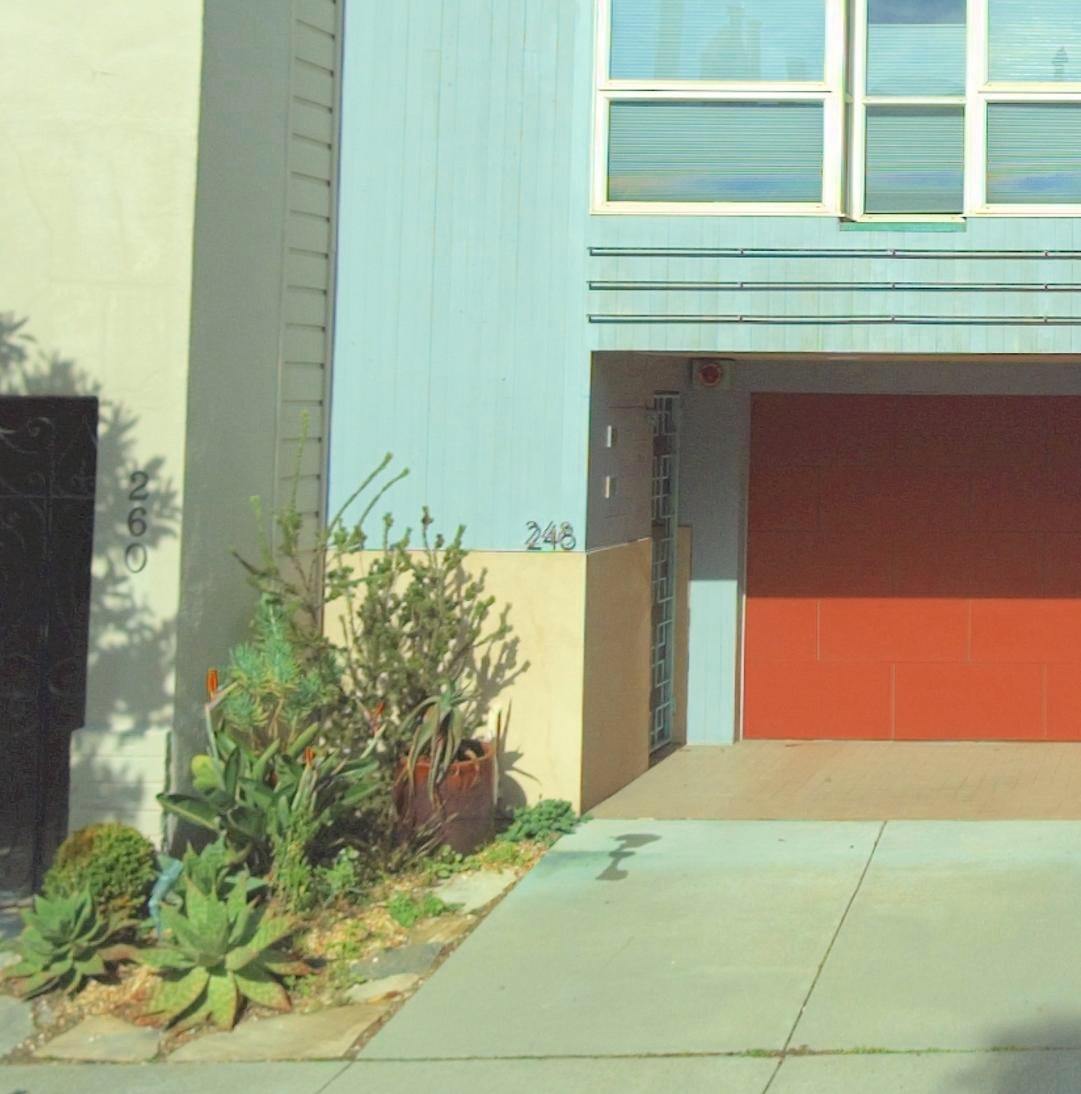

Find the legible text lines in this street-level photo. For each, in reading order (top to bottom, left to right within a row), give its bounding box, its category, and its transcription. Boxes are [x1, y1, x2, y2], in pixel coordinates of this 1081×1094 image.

[119, 469, 152, 574] StreetNumber: 260
[524, 519, 578, 552] StreetNumber: 248